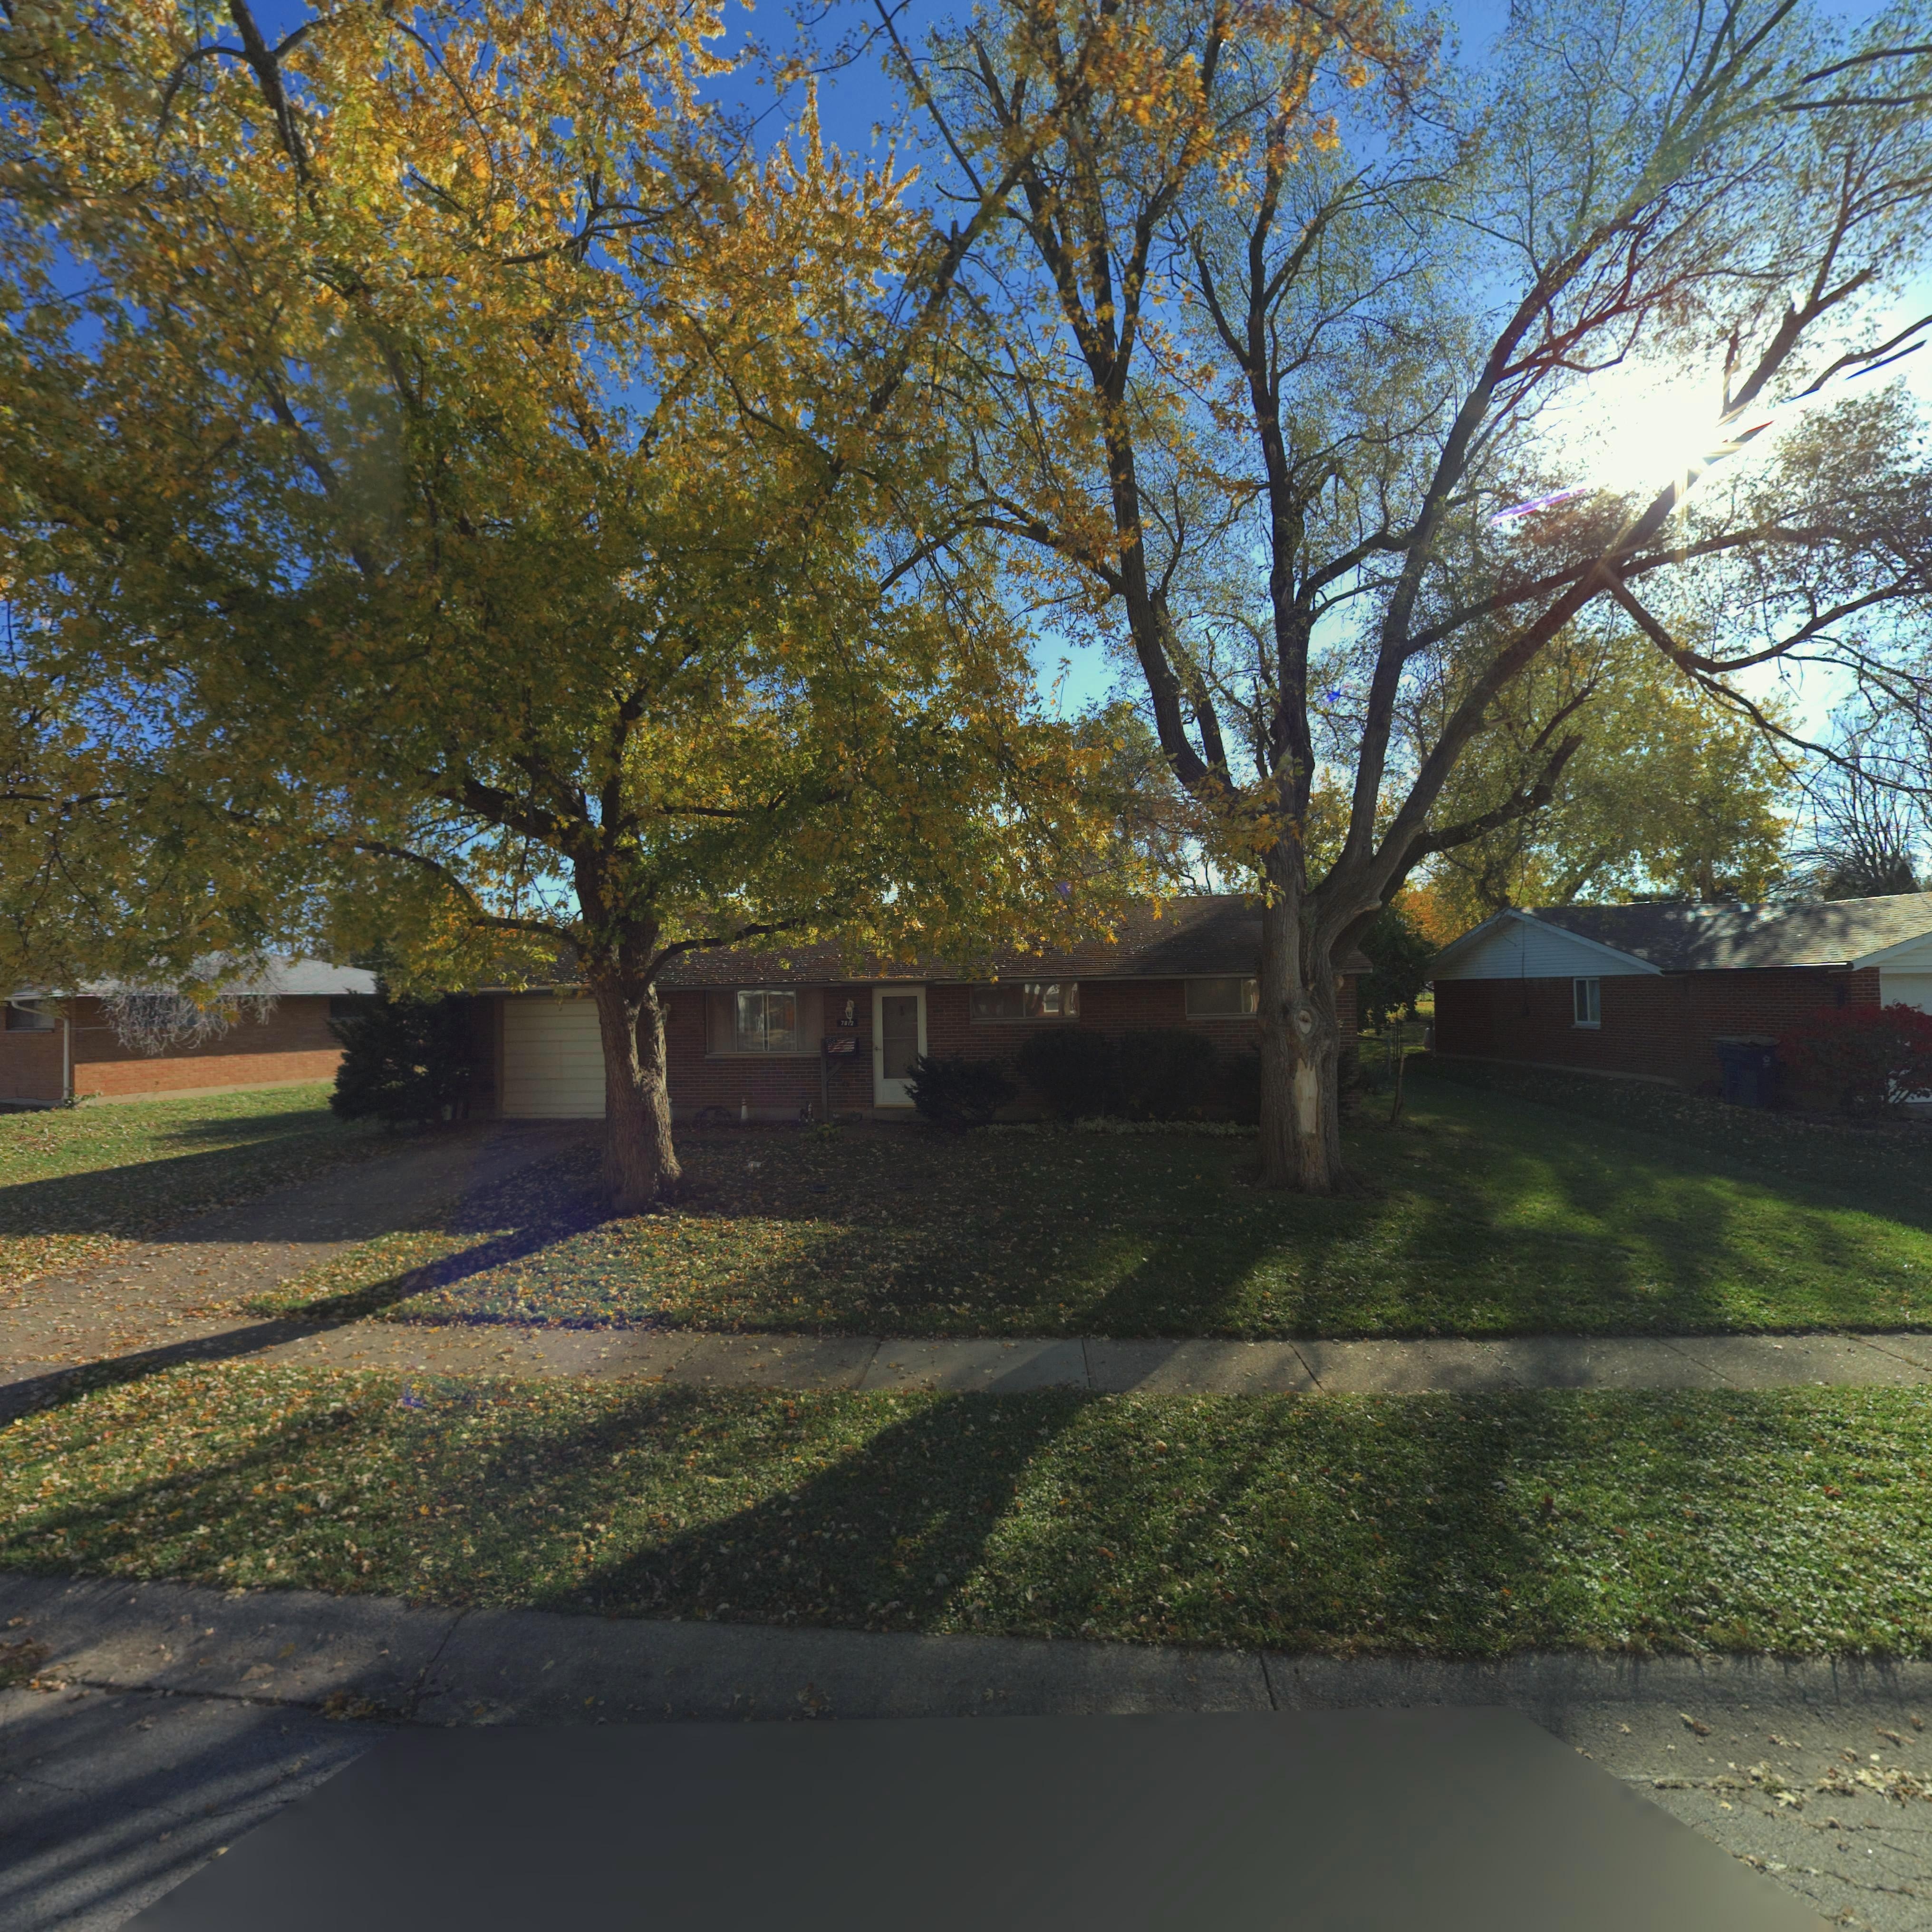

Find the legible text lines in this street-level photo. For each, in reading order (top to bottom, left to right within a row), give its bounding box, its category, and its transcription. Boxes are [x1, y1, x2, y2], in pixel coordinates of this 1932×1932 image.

[840, 1020, 855, 1027] StreetNumber: 7812